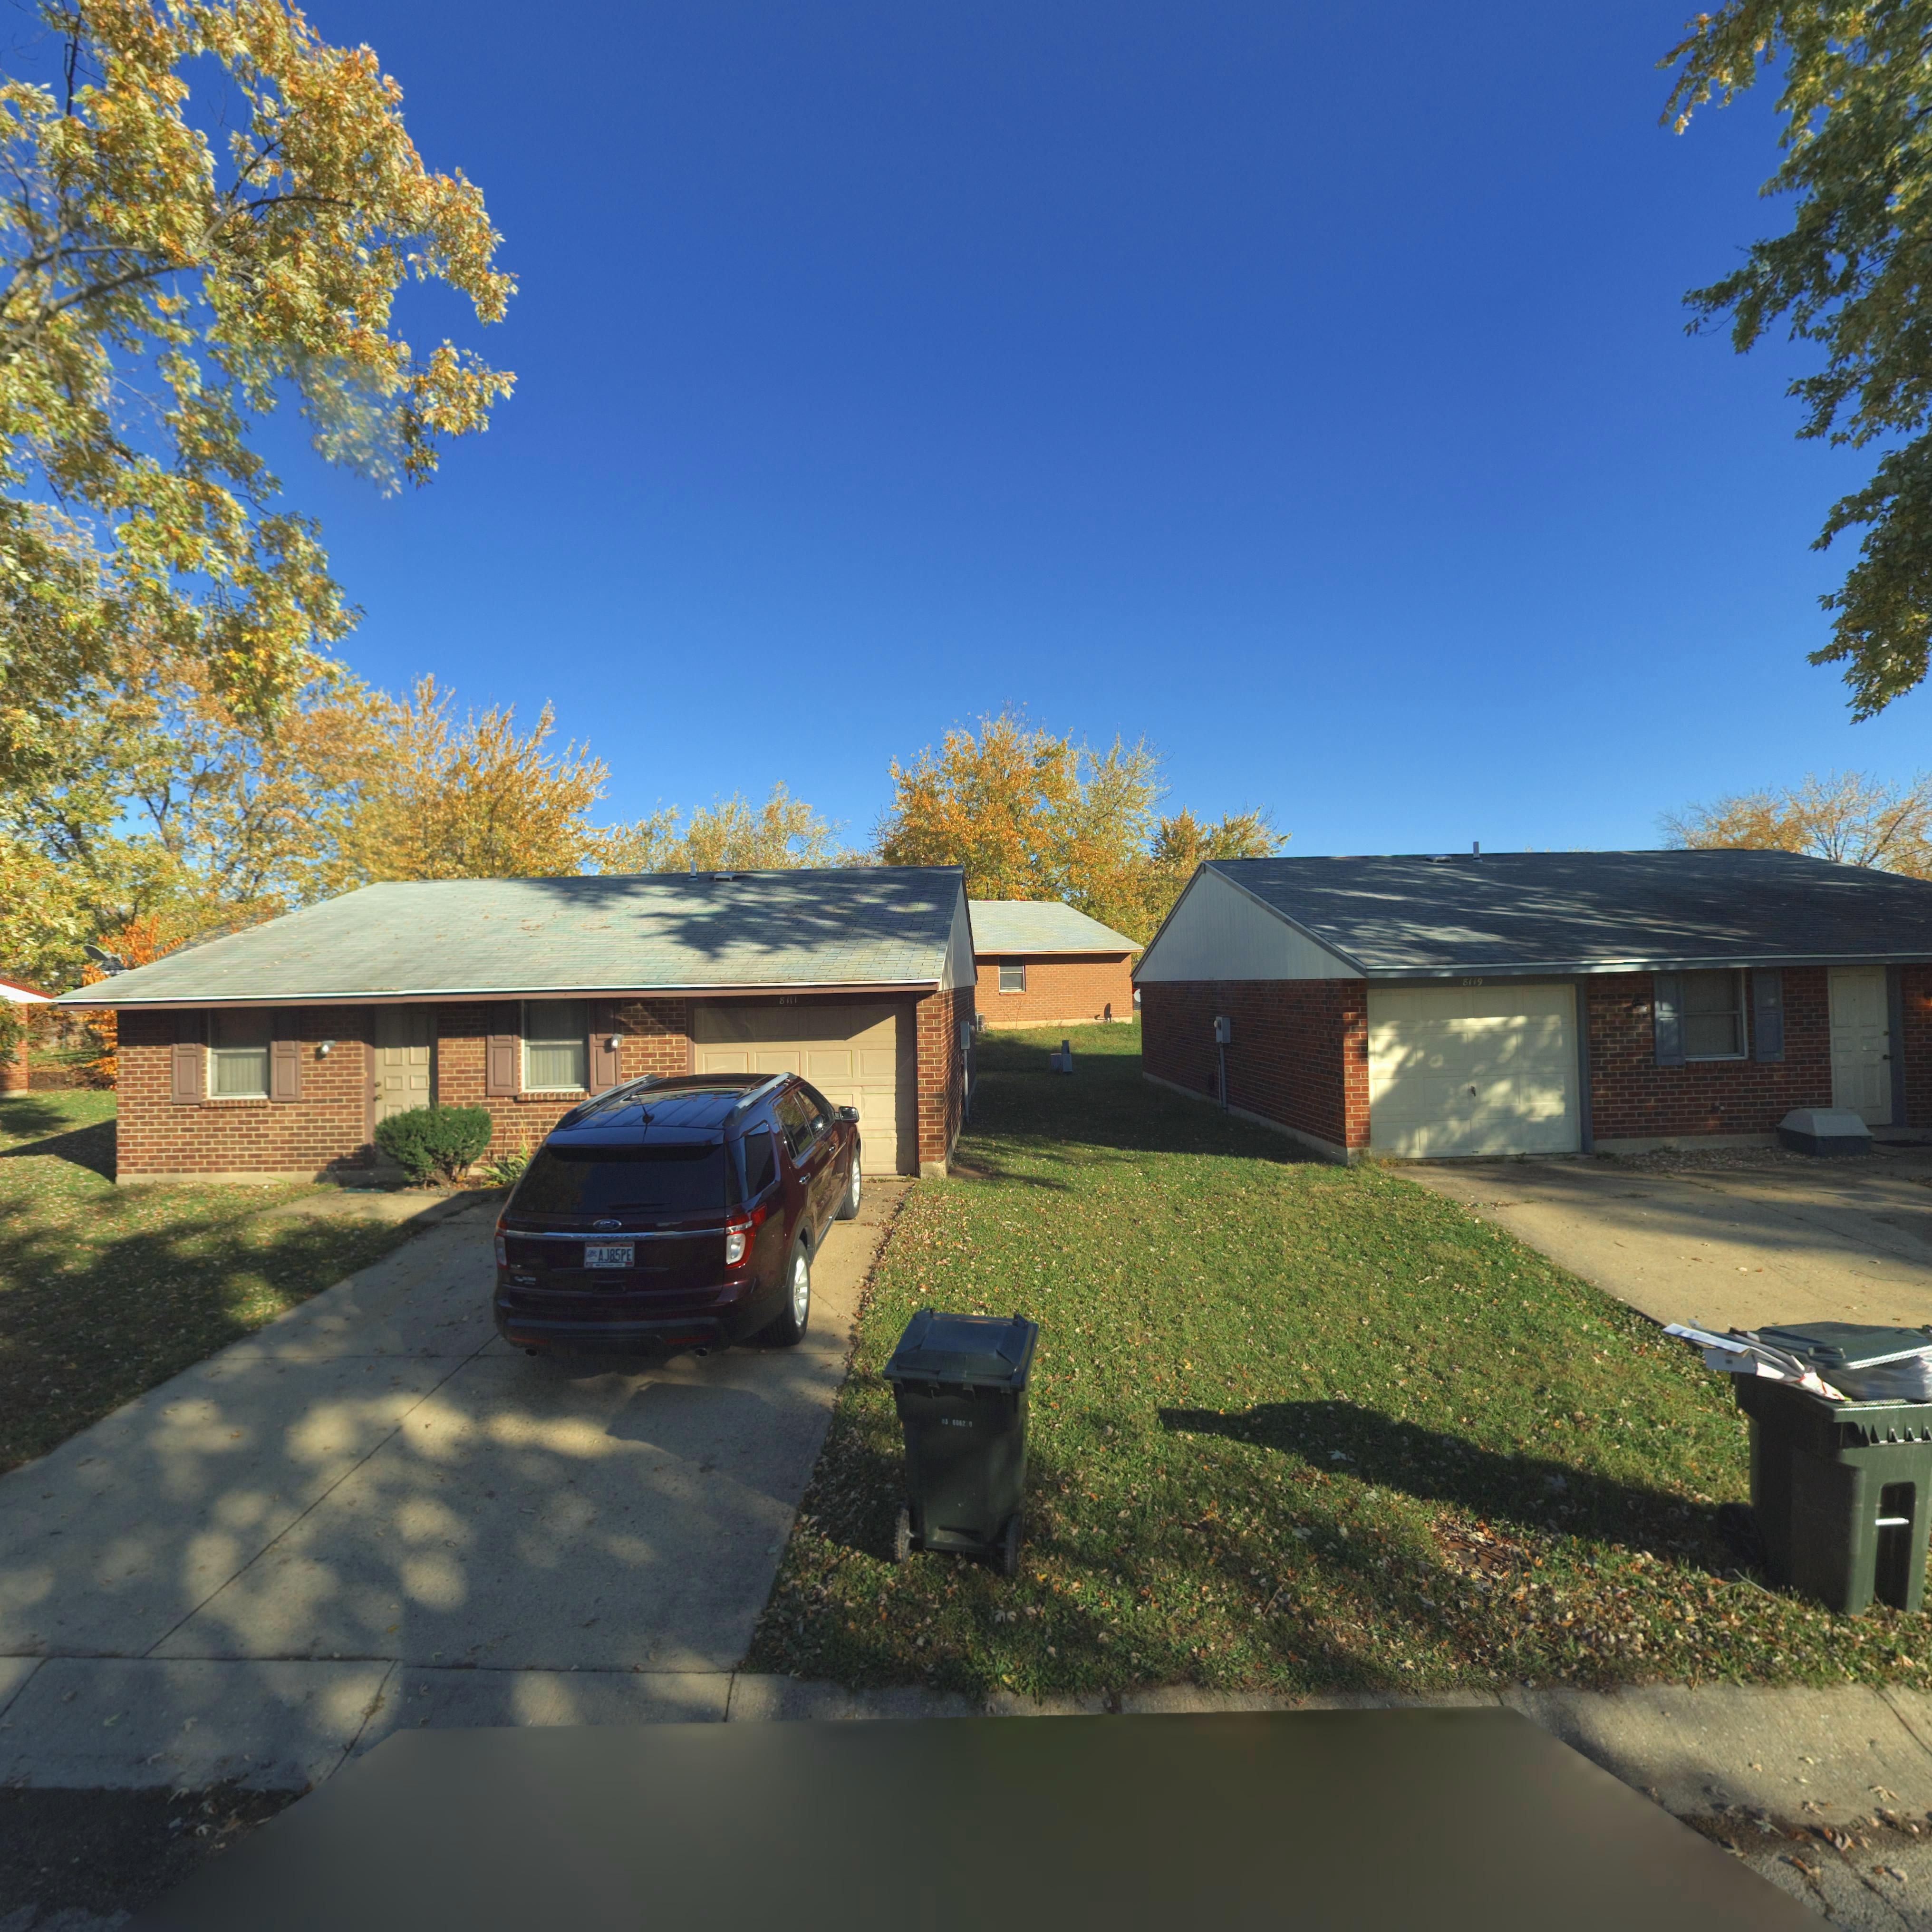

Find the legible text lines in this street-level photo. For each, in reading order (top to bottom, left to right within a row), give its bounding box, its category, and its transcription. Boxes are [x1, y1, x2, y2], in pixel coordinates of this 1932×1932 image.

[1461, 977, 1484, 988] StreetNumber: 8119
[778, 995, 799, 1005] StreetNumber: 8111